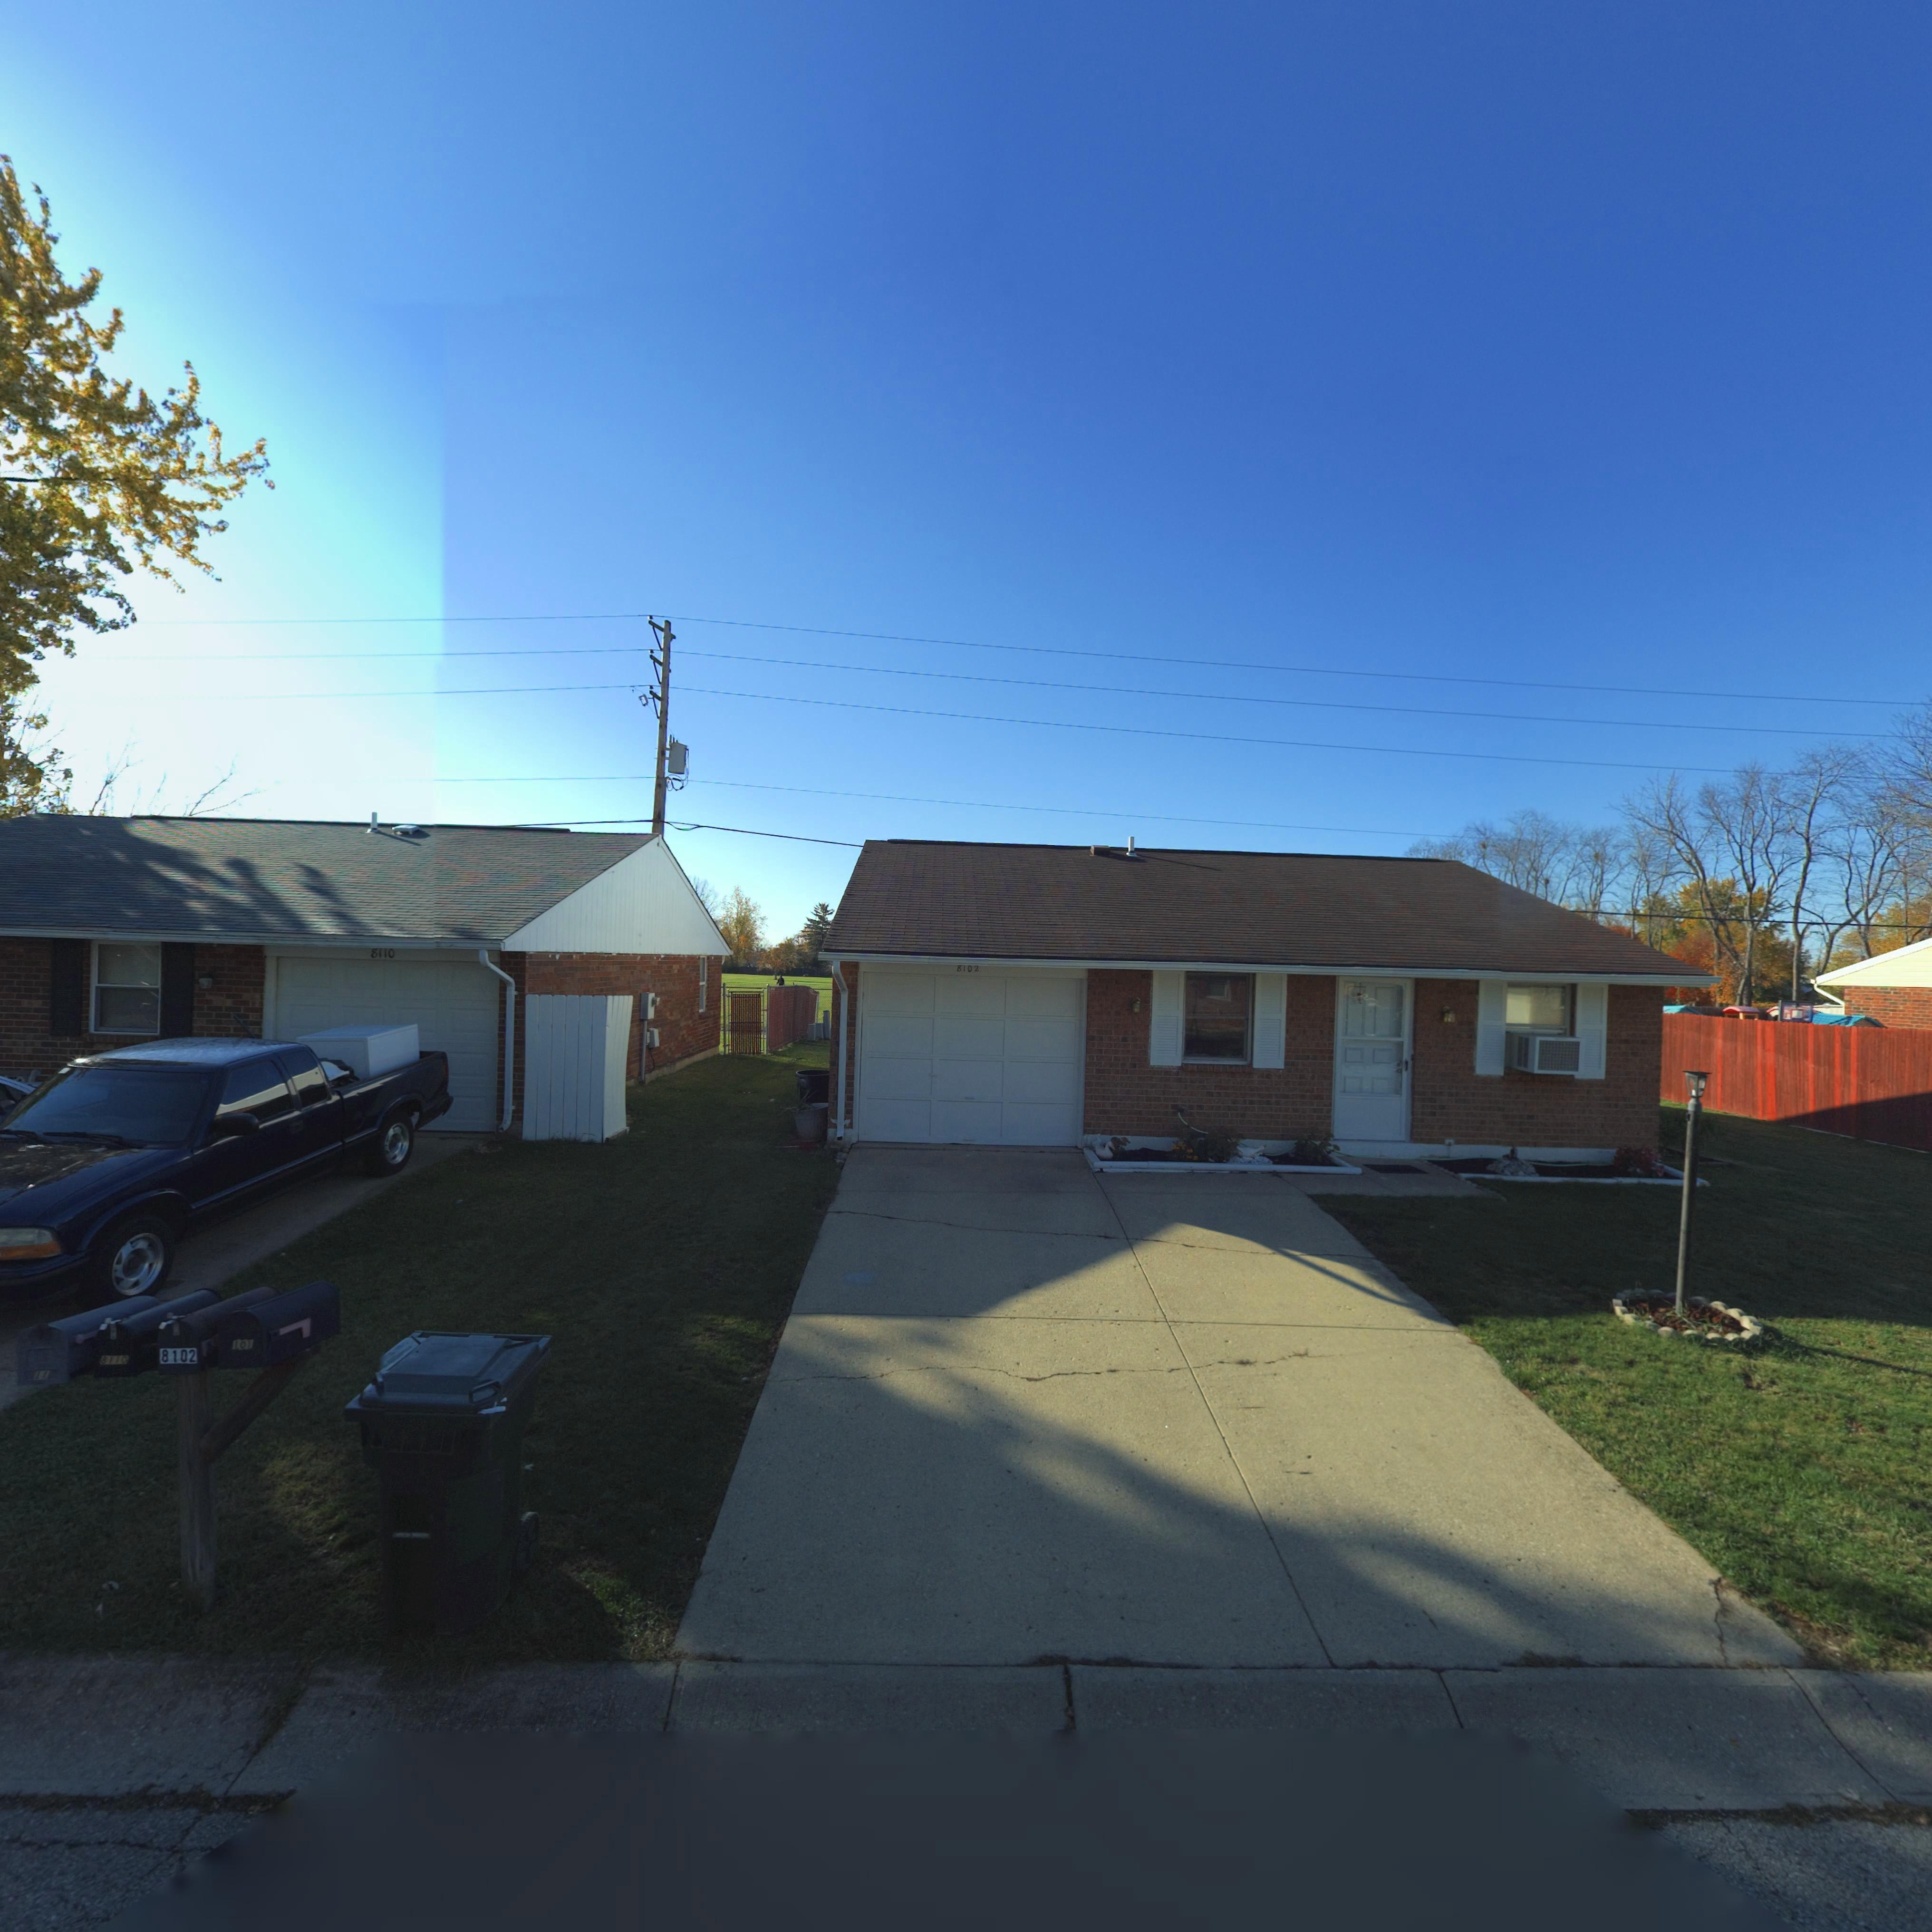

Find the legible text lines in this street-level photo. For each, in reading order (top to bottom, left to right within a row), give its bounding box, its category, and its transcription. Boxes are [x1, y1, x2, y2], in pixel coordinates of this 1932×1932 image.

[369, 947, 396, 959] StreetNumber: 8110
[956, 964, 980, 973] StreetNumber: 8102
[232, 1339, 253, 1350] StreetNumber: 101
[98, 1354, 129, 1366] StreetNumber: 8110
[160, 1348, 197, 1363] StreetNumber: 8102
[34, 1369, 49, 1381] StreetNumber: 11